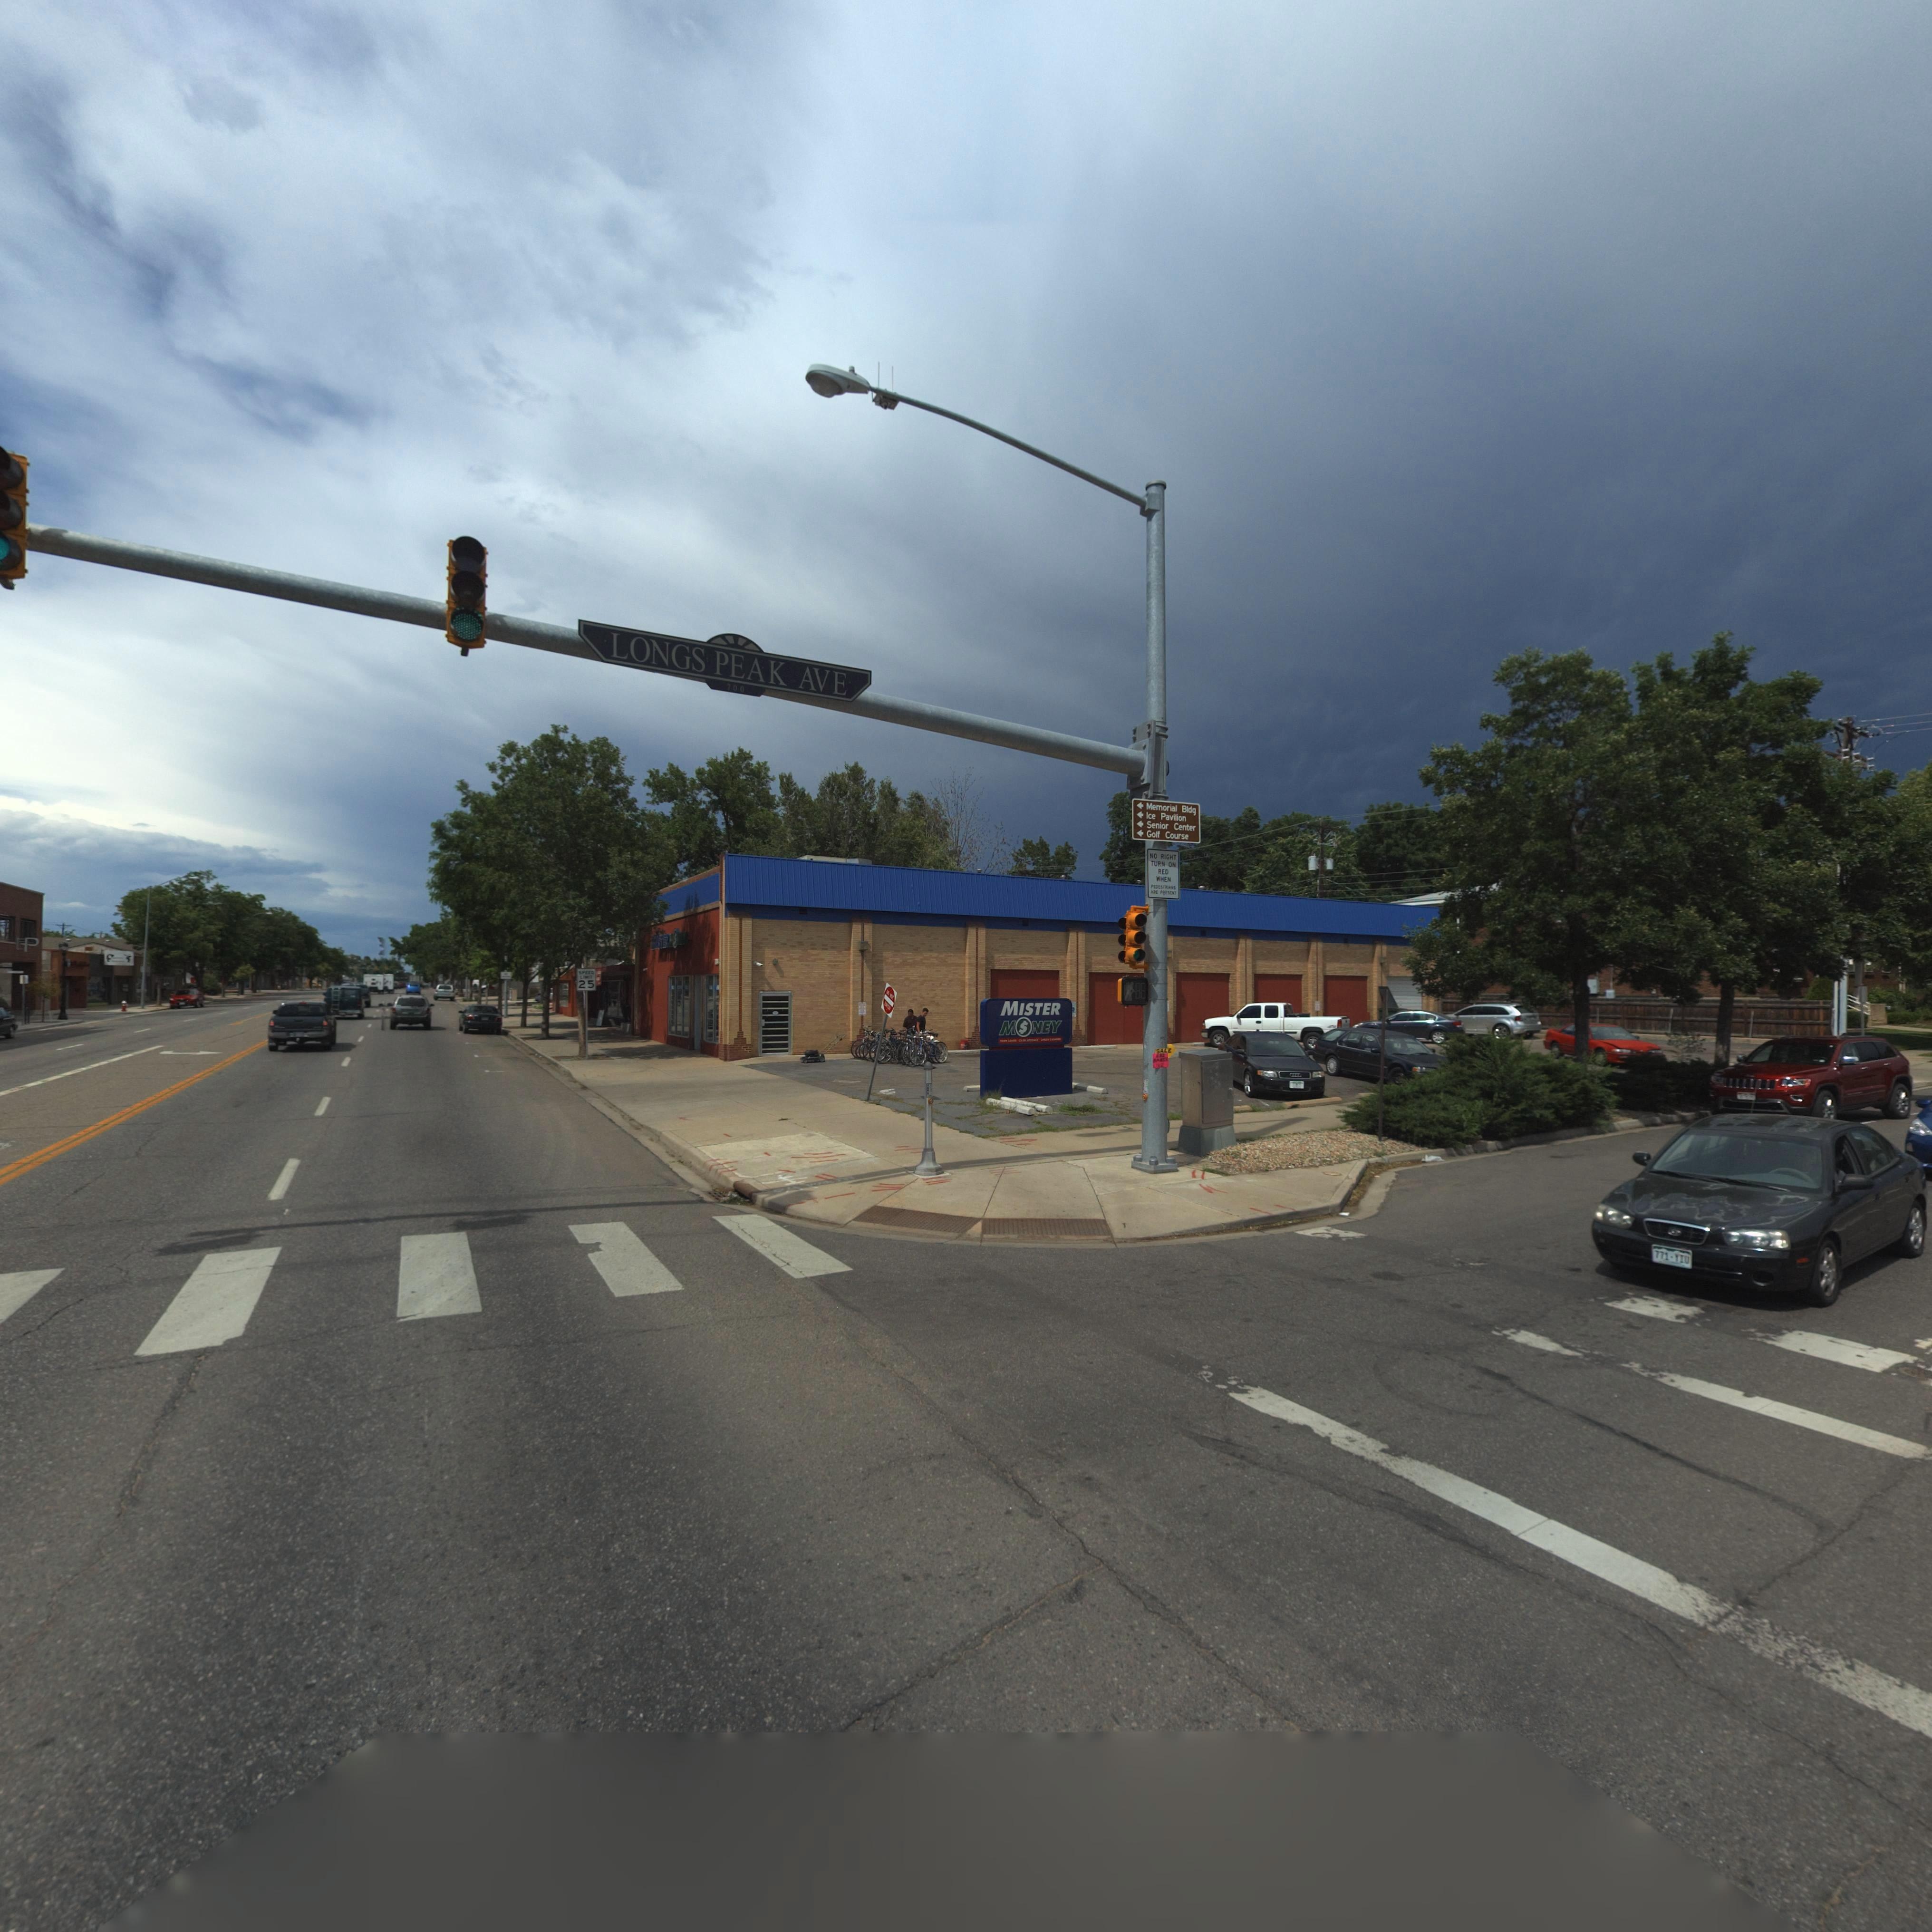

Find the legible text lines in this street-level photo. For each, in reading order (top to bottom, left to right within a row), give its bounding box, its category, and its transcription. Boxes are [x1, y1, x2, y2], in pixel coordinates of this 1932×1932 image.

[609, 631, 847, 696] StreetName: LONGS PEAK AVE
[727, 683, 744, 693] StreetNumberRange: 700
[651, 931, 688, 950] BusinessName: MISTER M****
[106, 953, 115, 962] BusinessName: f